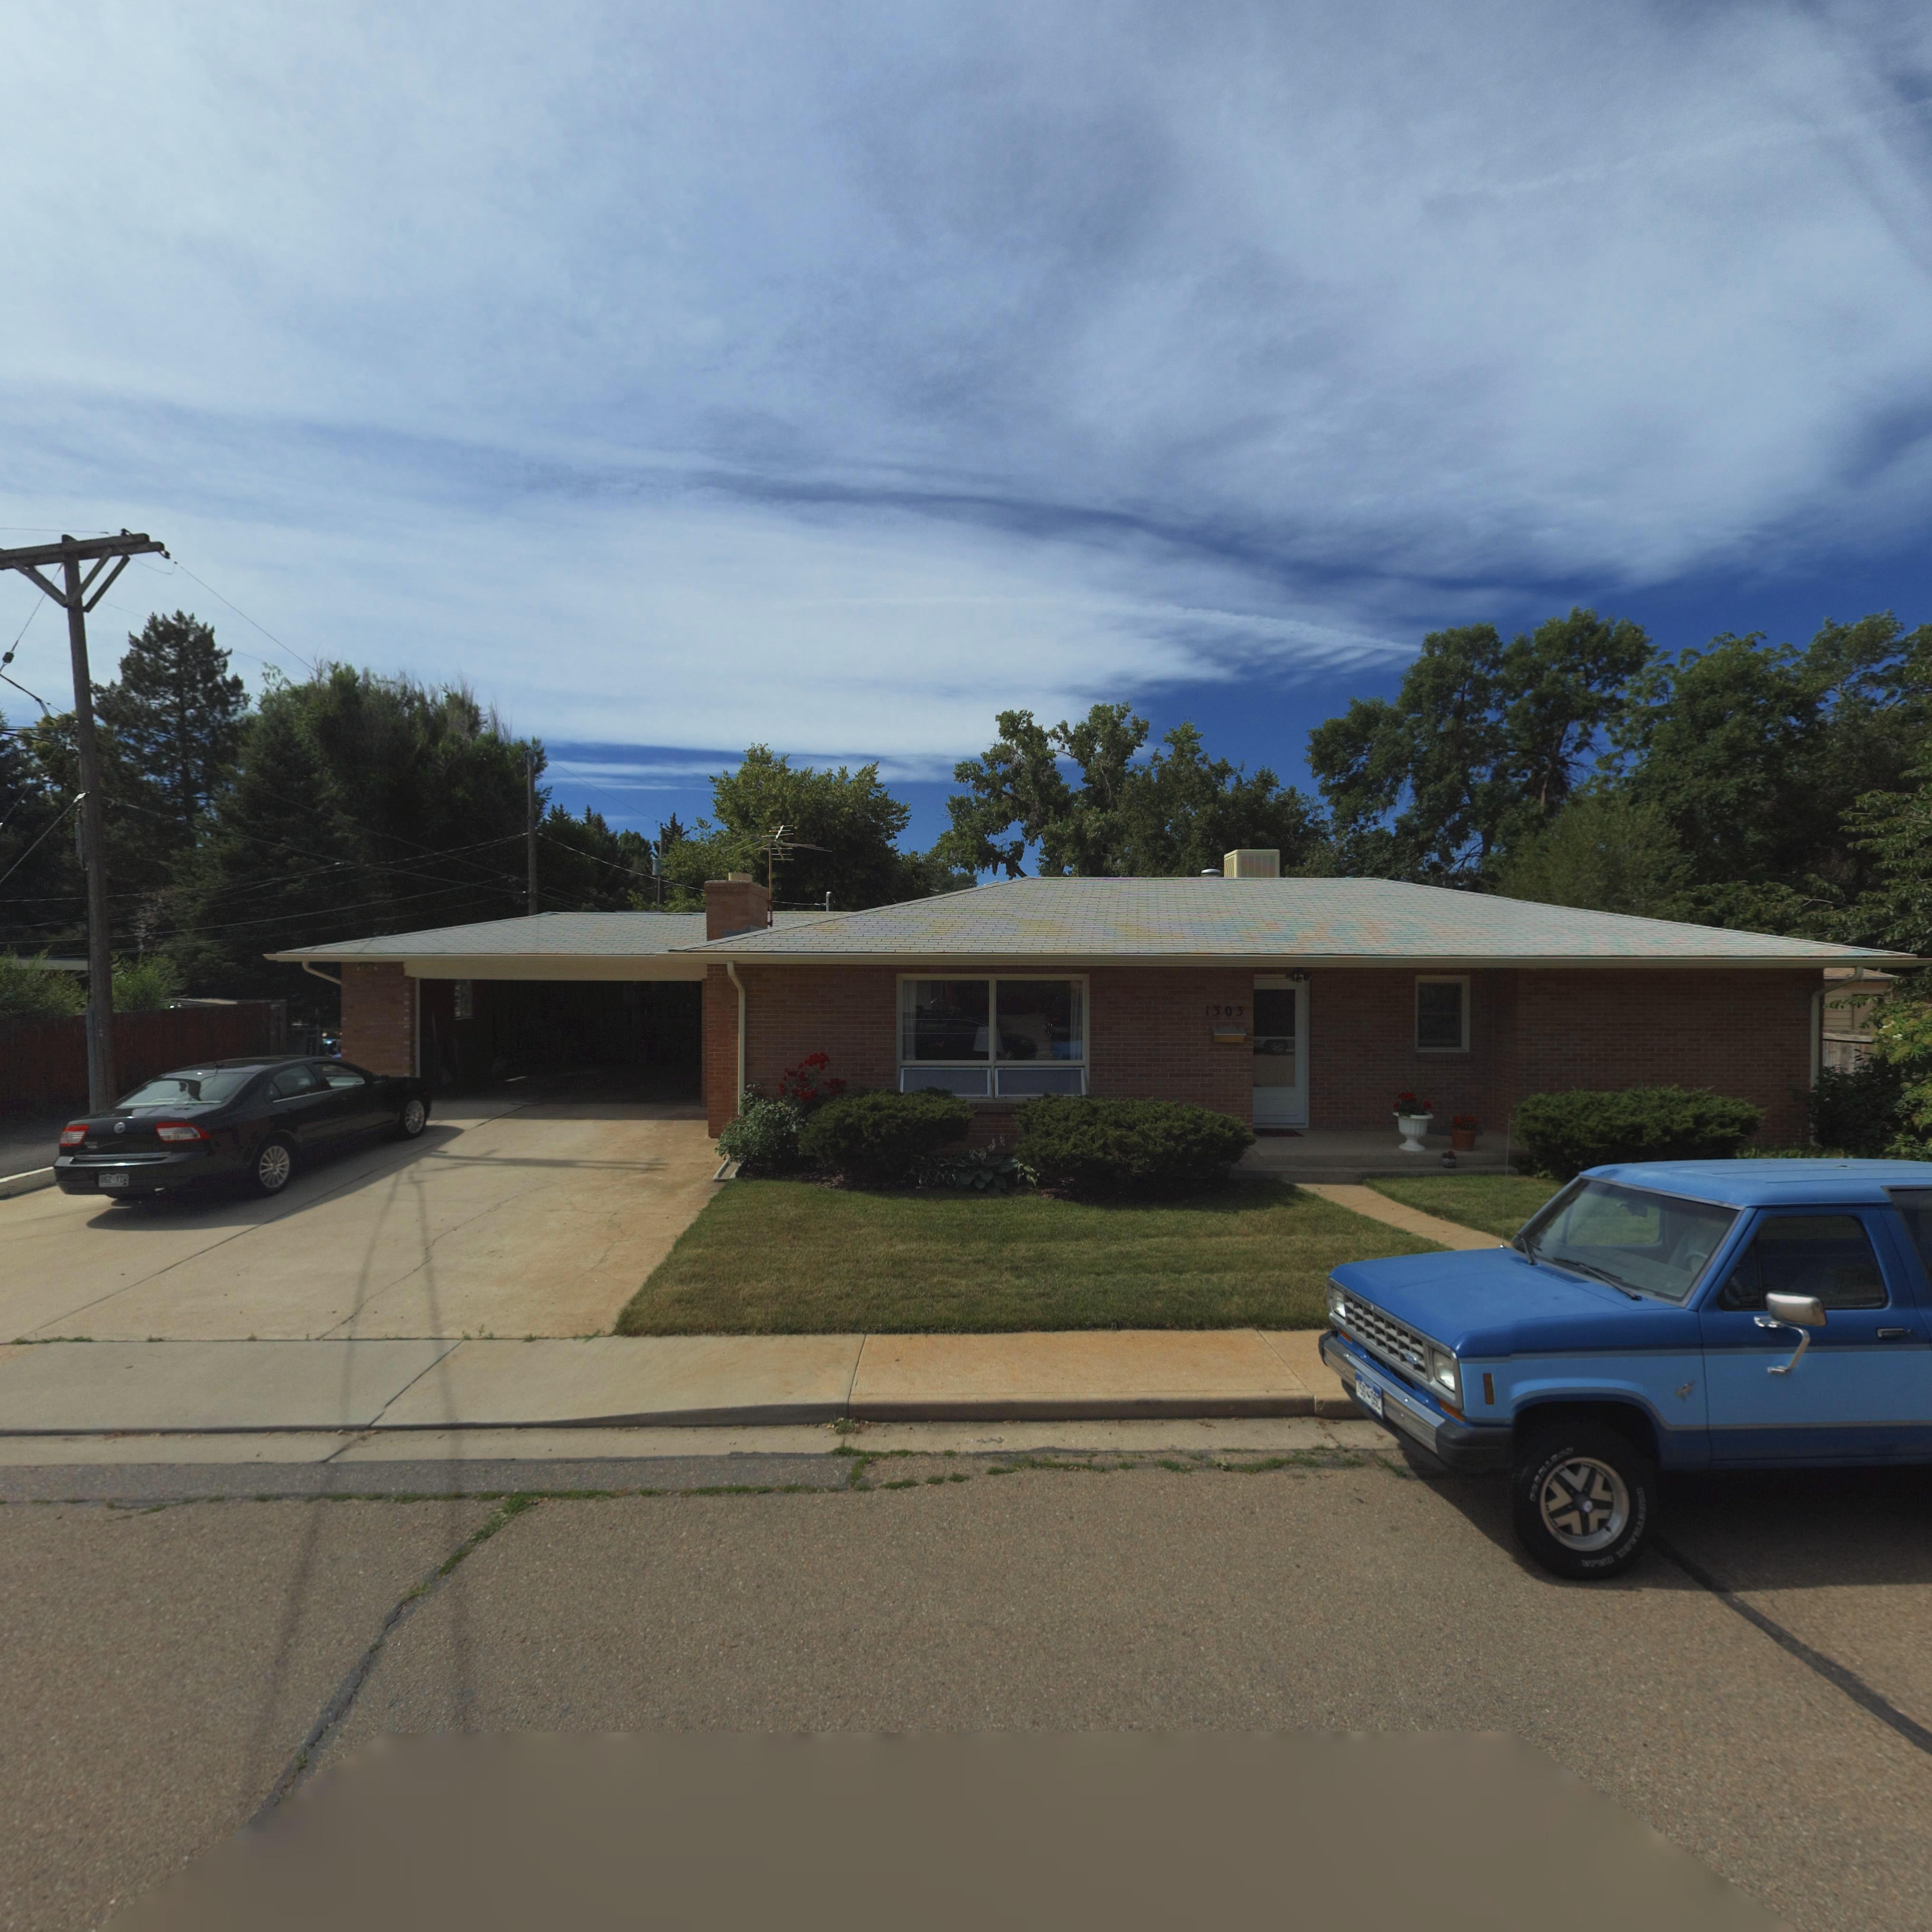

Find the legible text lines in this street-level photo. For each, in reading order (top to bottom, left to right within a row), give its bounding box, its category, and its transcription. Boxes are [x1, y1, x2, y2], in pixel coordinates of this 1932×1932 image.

[1205, 1004, 1244, 1017] StreetNumber: 1303